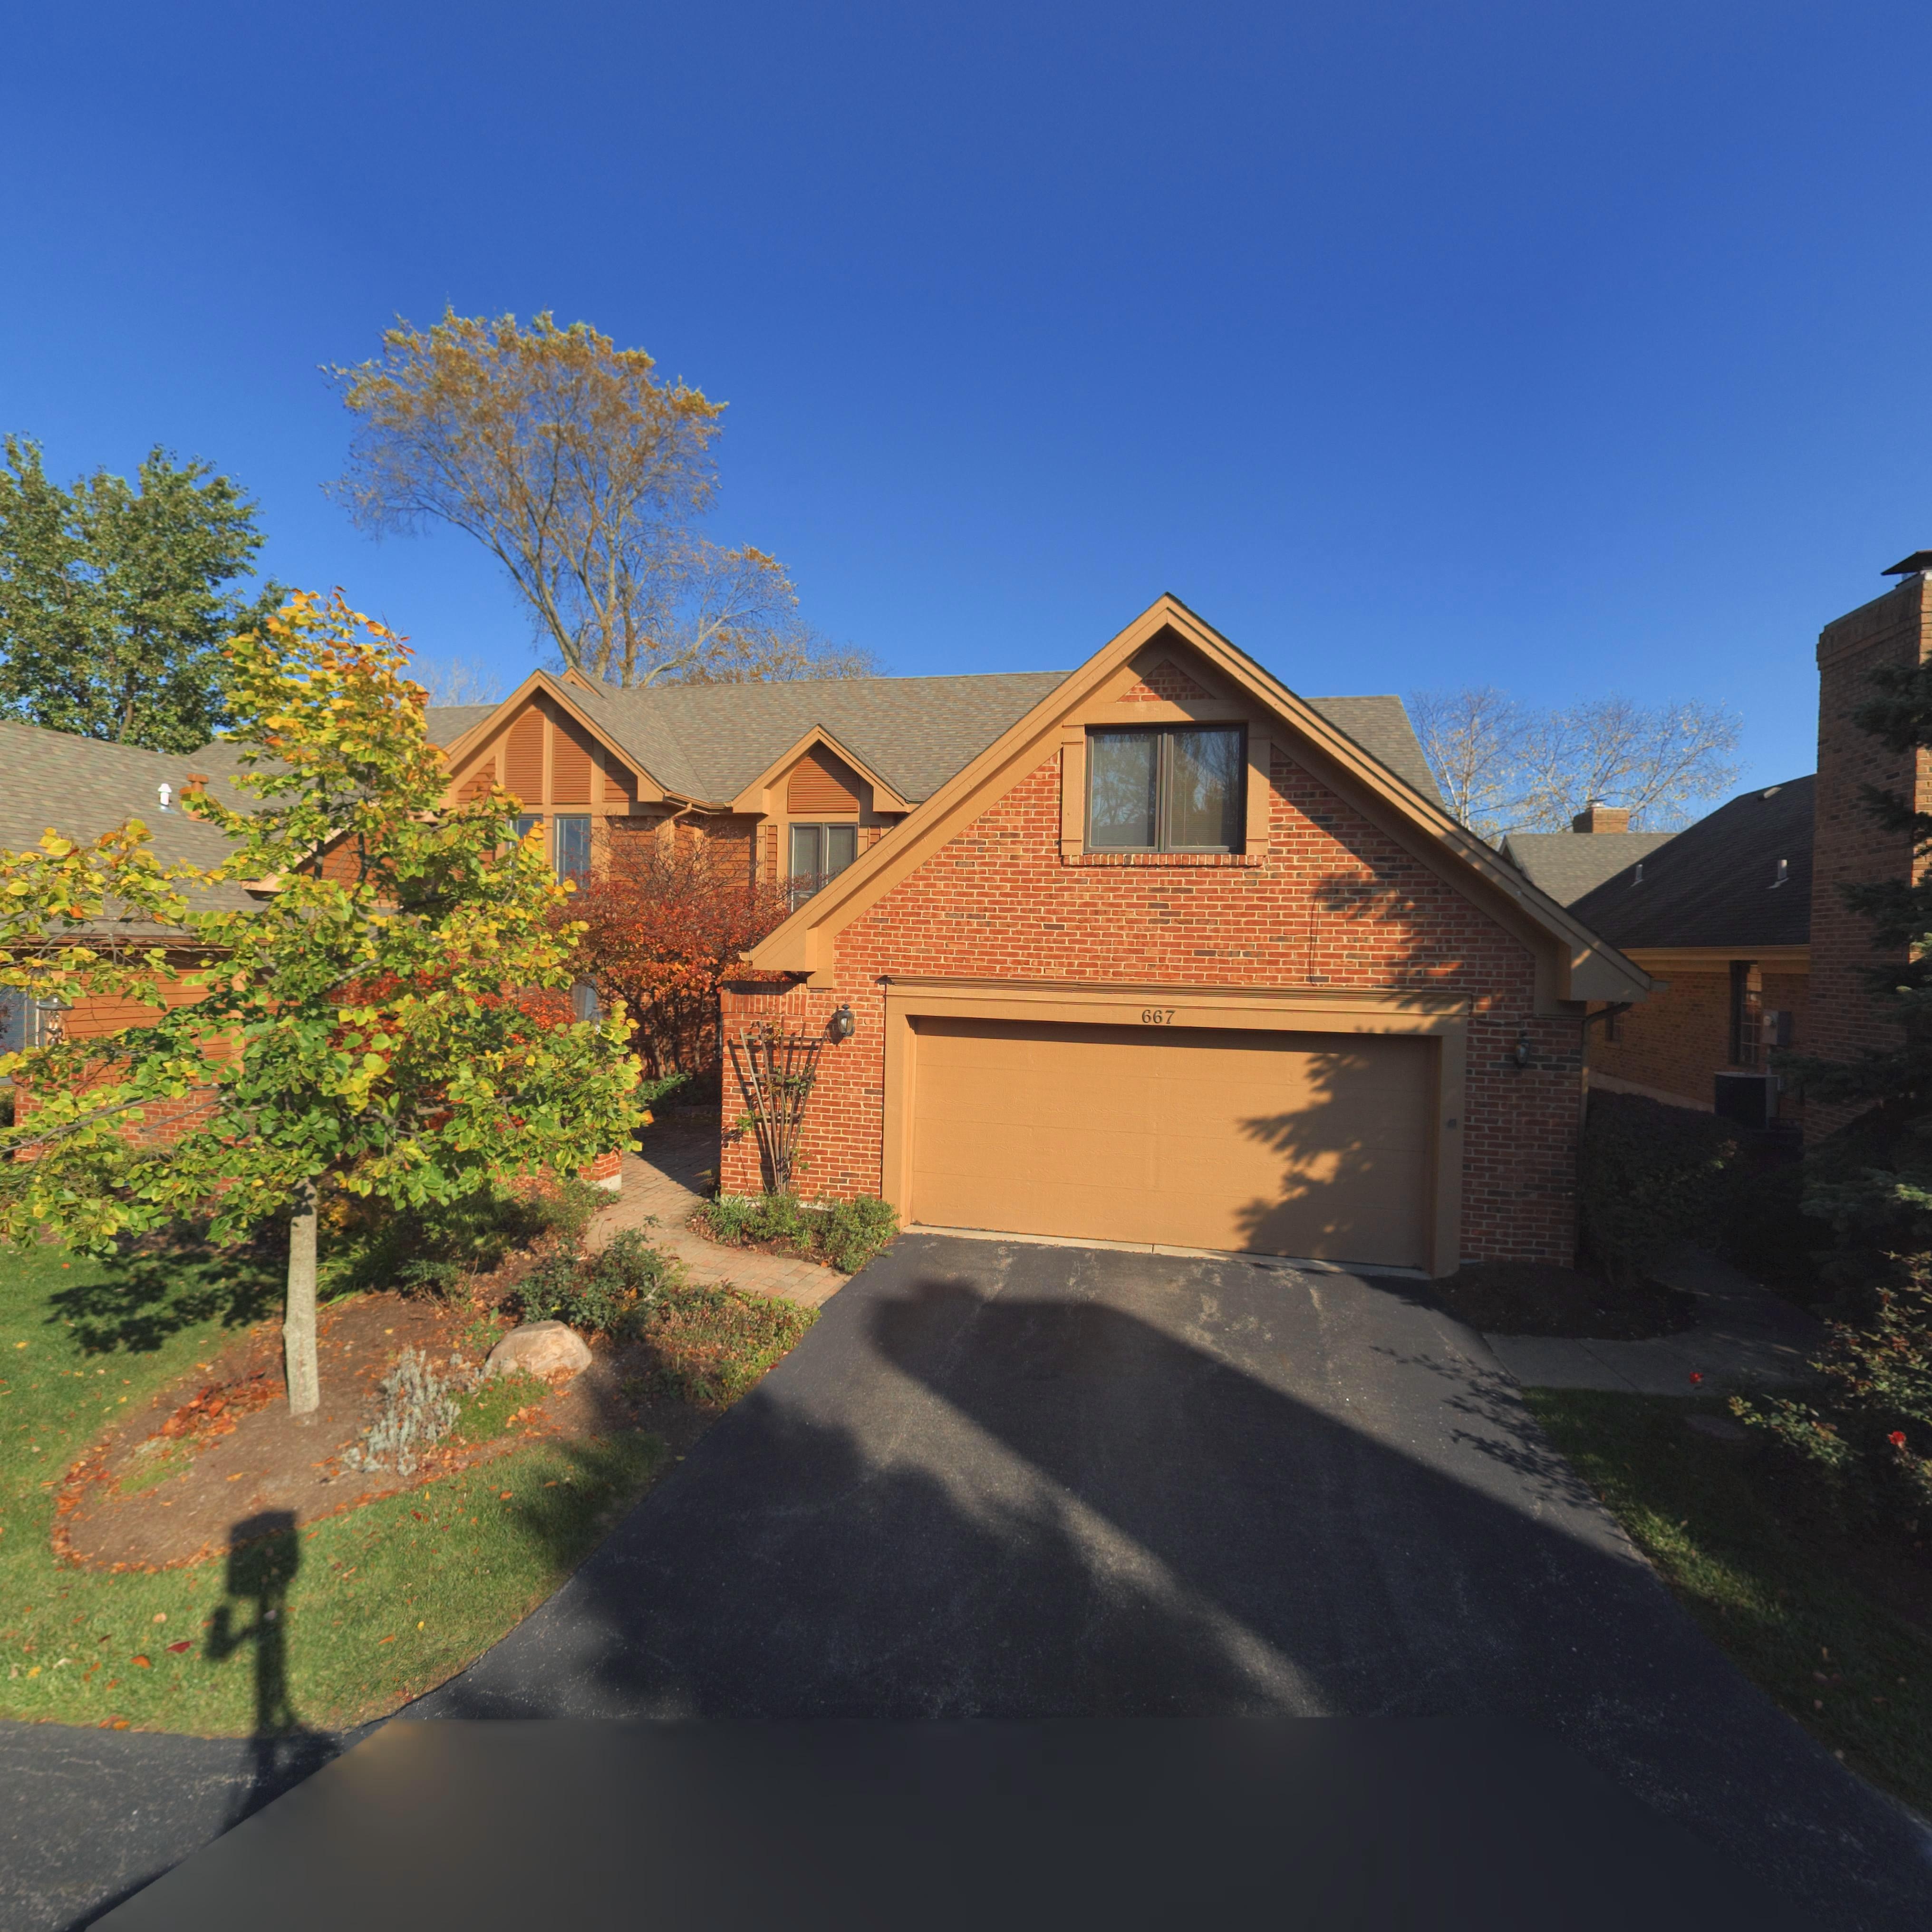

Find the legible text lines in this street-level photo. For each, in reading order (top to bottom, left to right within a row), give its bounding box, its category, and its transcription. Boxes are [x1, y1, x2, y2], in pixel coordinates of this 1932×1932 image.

[1140, 1008, 1177, 1024] StreetNumber: 667